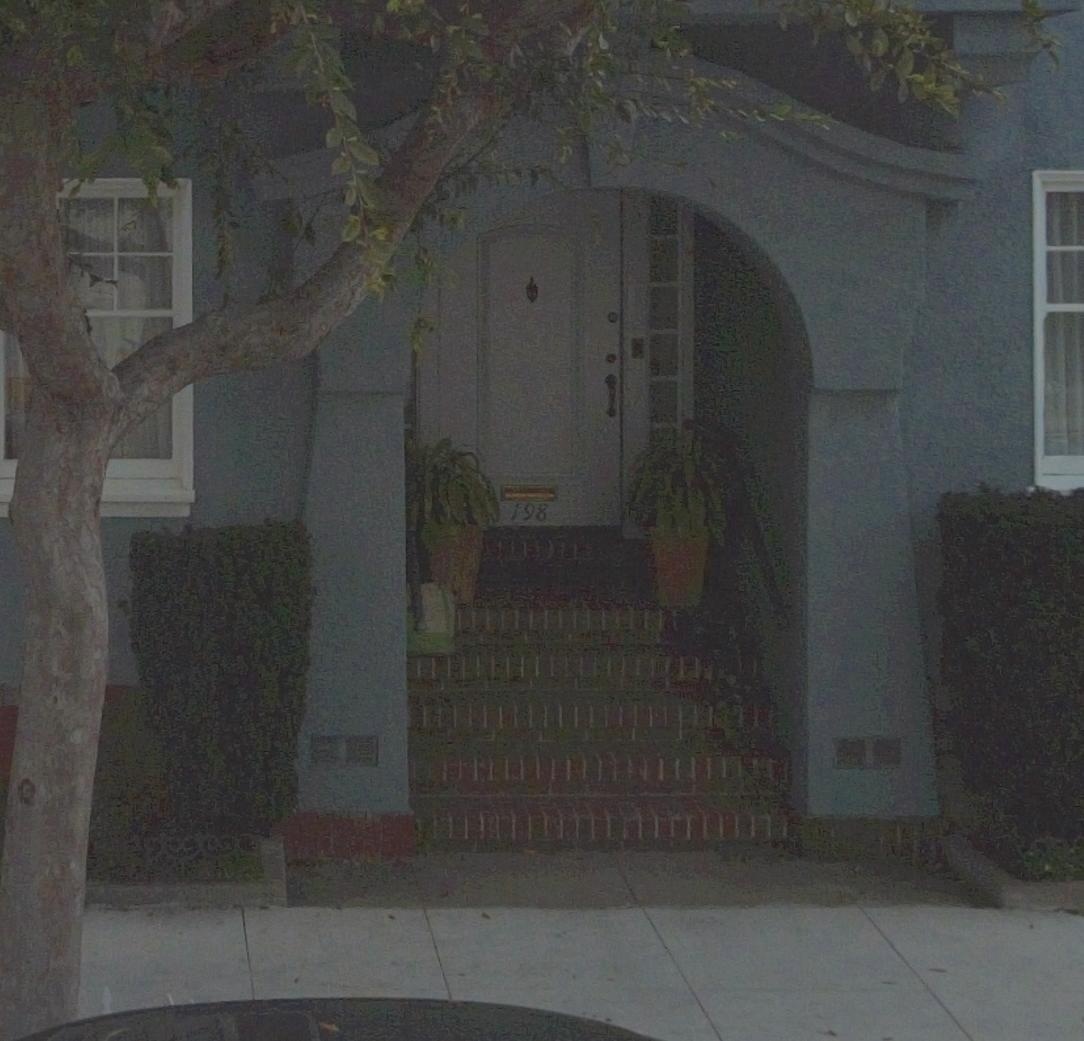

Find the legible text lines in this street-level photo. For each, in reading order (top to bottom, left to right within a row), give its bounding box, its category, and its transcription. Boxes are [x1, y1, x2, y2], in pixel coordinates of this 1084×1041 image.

[508, 501, 549, 522] StreetNumber: 198